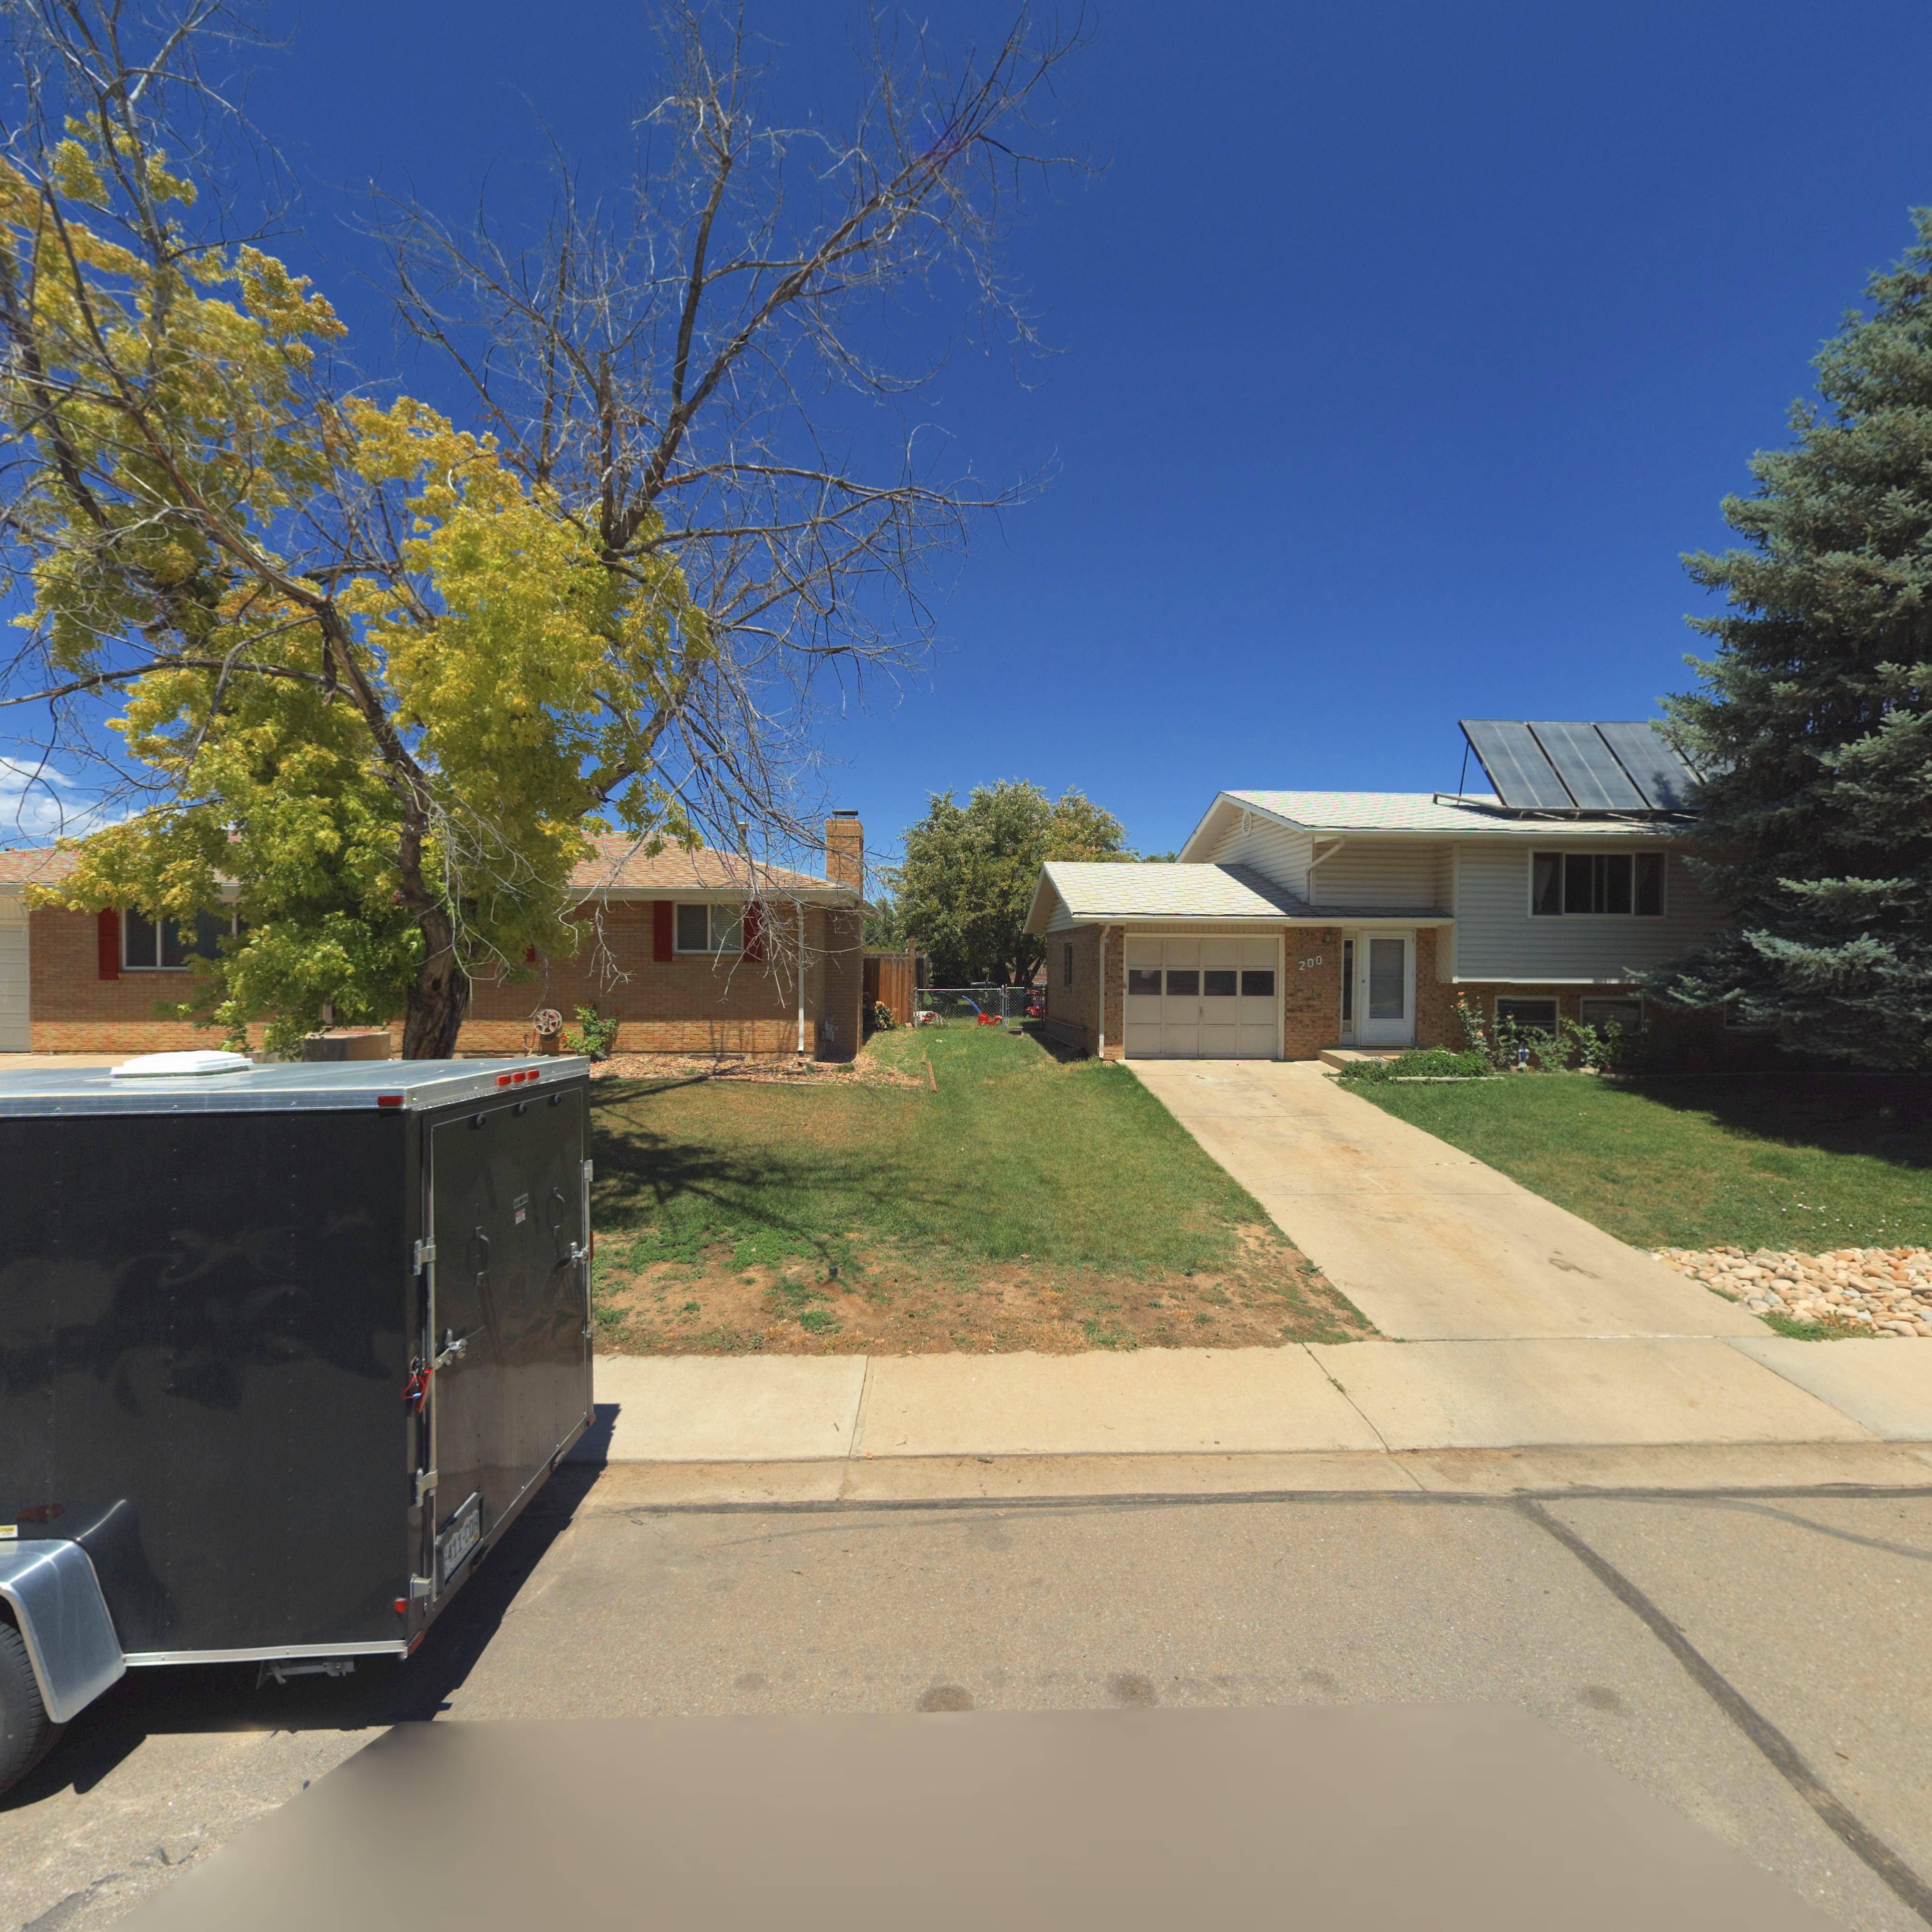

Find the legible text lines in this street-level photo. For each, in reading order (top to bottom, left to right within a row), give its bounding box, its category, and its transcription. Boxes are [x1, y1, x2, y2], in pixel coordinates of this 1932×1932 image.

[1298, 955, 1323, 971] StreetNumber: 200